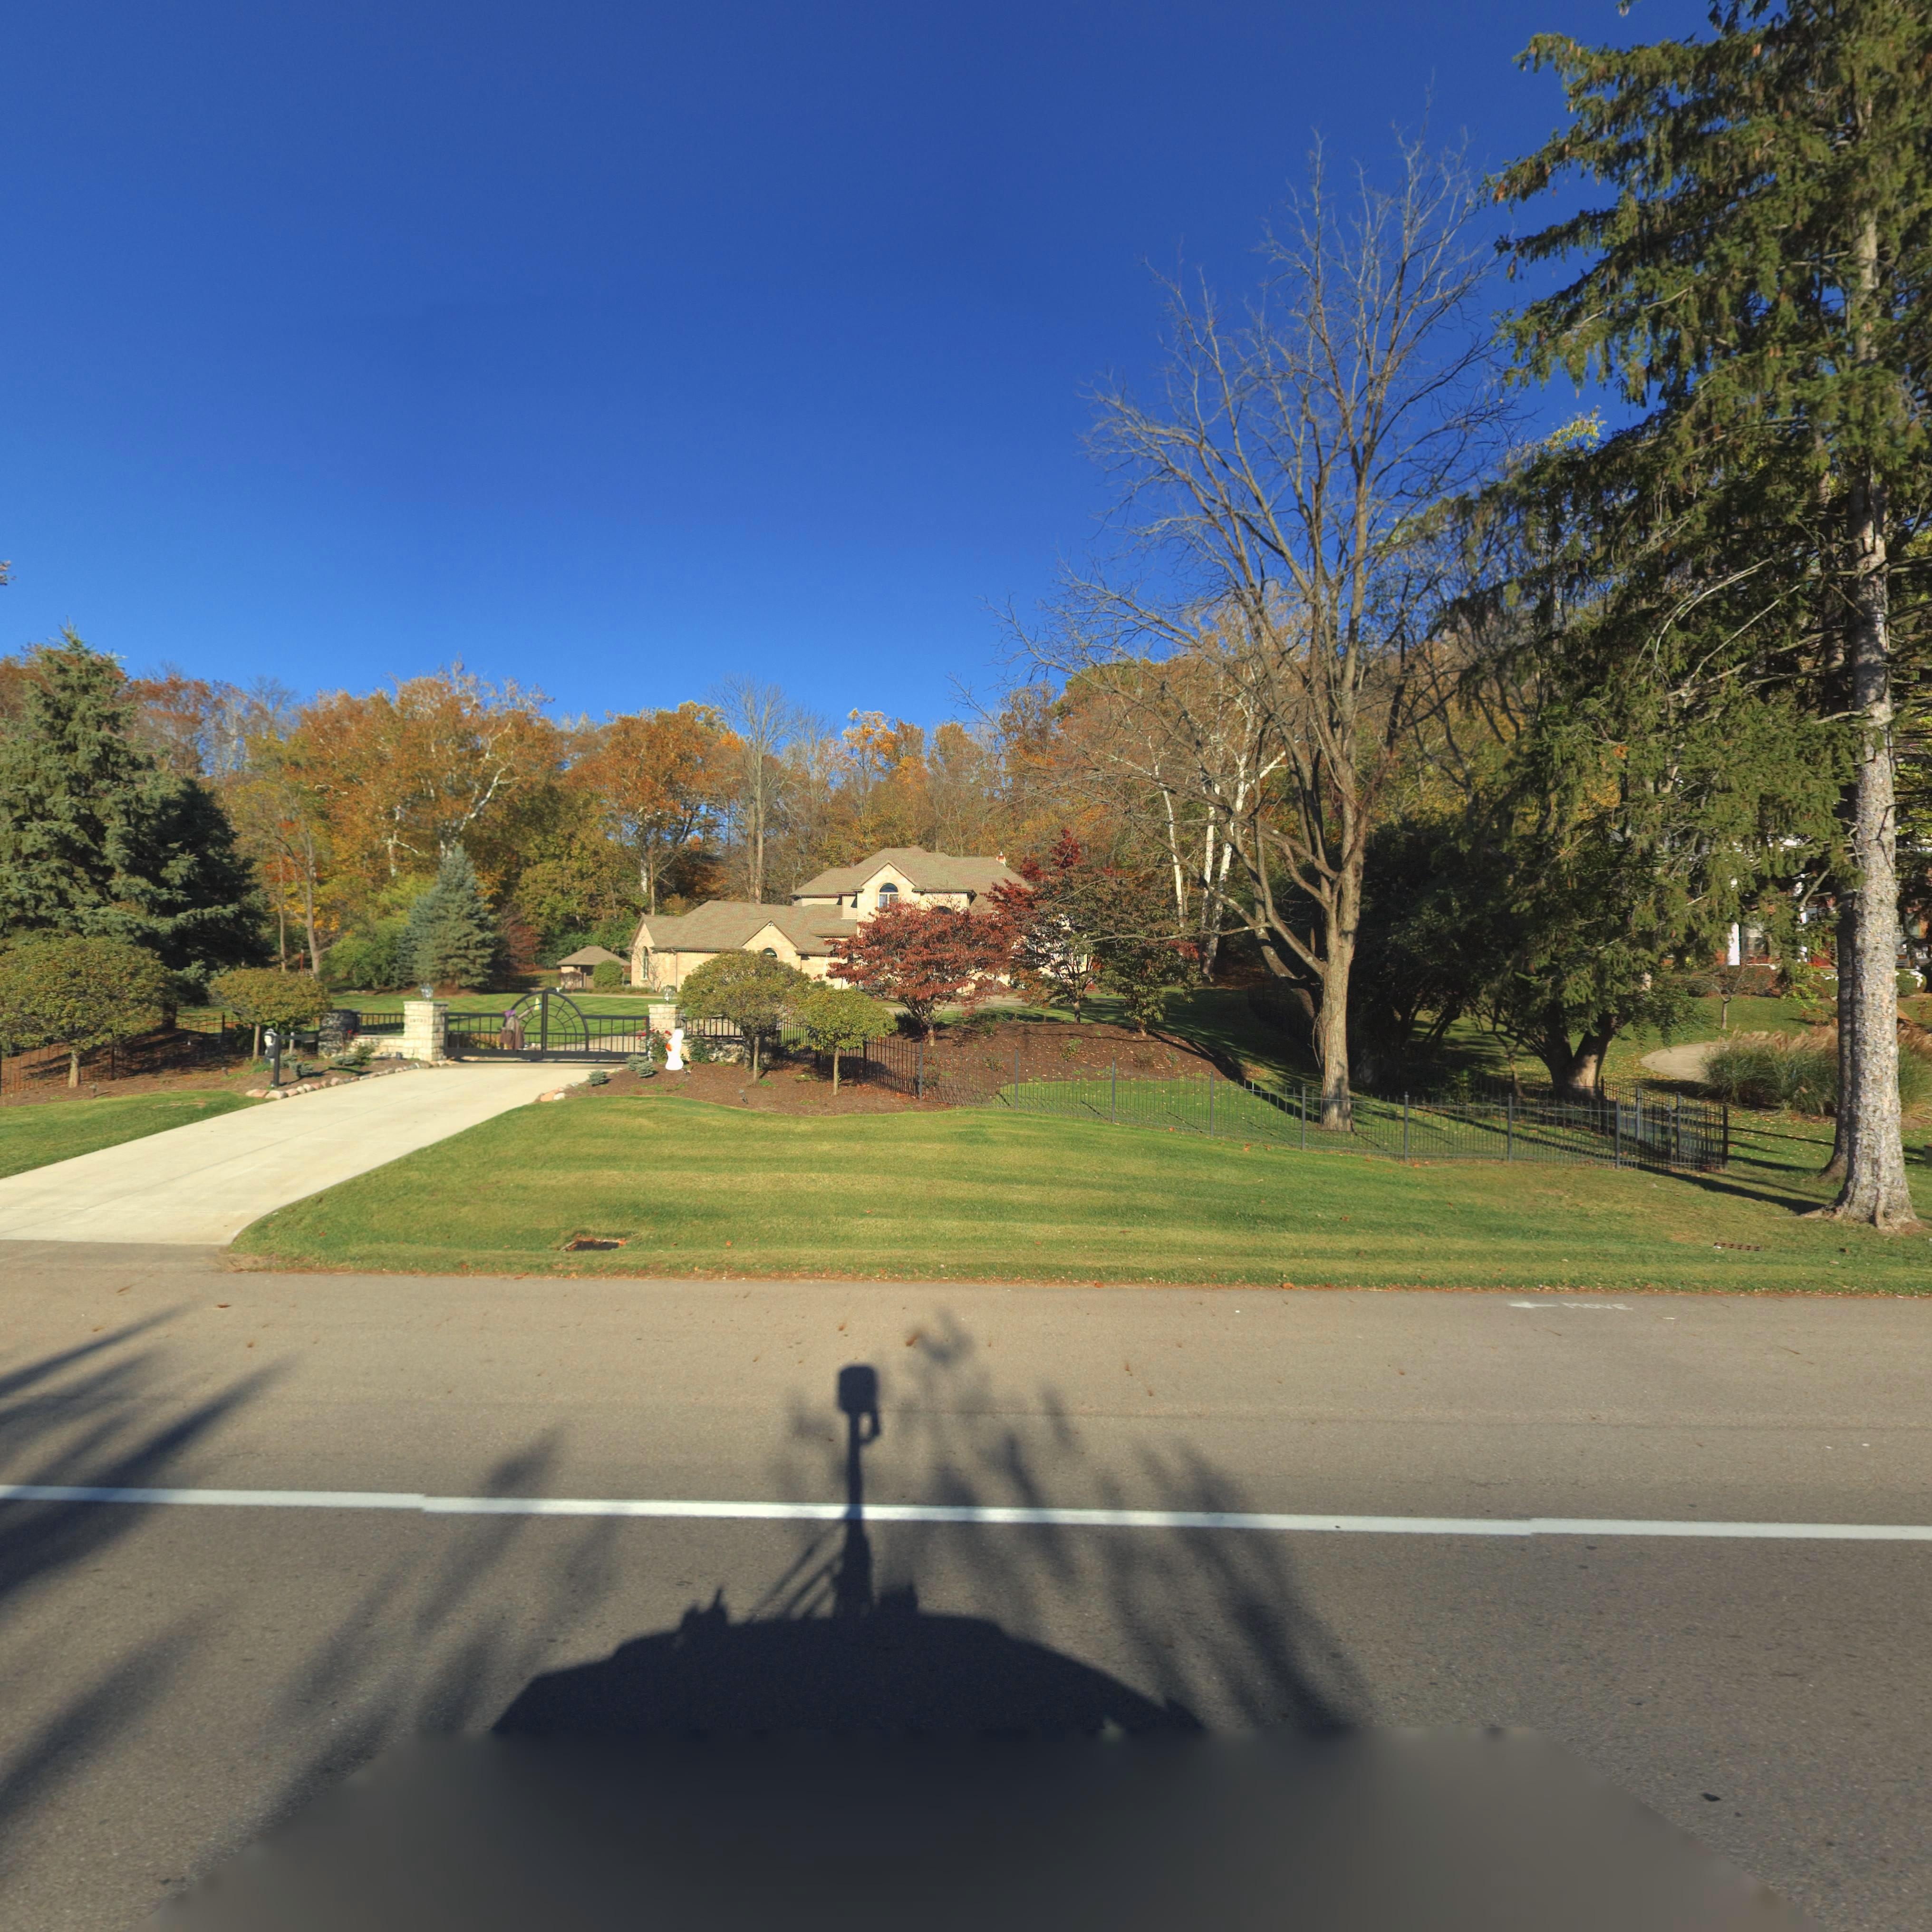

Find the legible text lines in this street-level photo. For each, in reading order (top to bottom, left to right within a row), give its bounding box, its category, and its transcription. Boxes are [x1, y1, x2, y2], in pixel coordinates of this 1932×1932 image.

[409, 1017, 424, 1023] StreetNumber: 1973